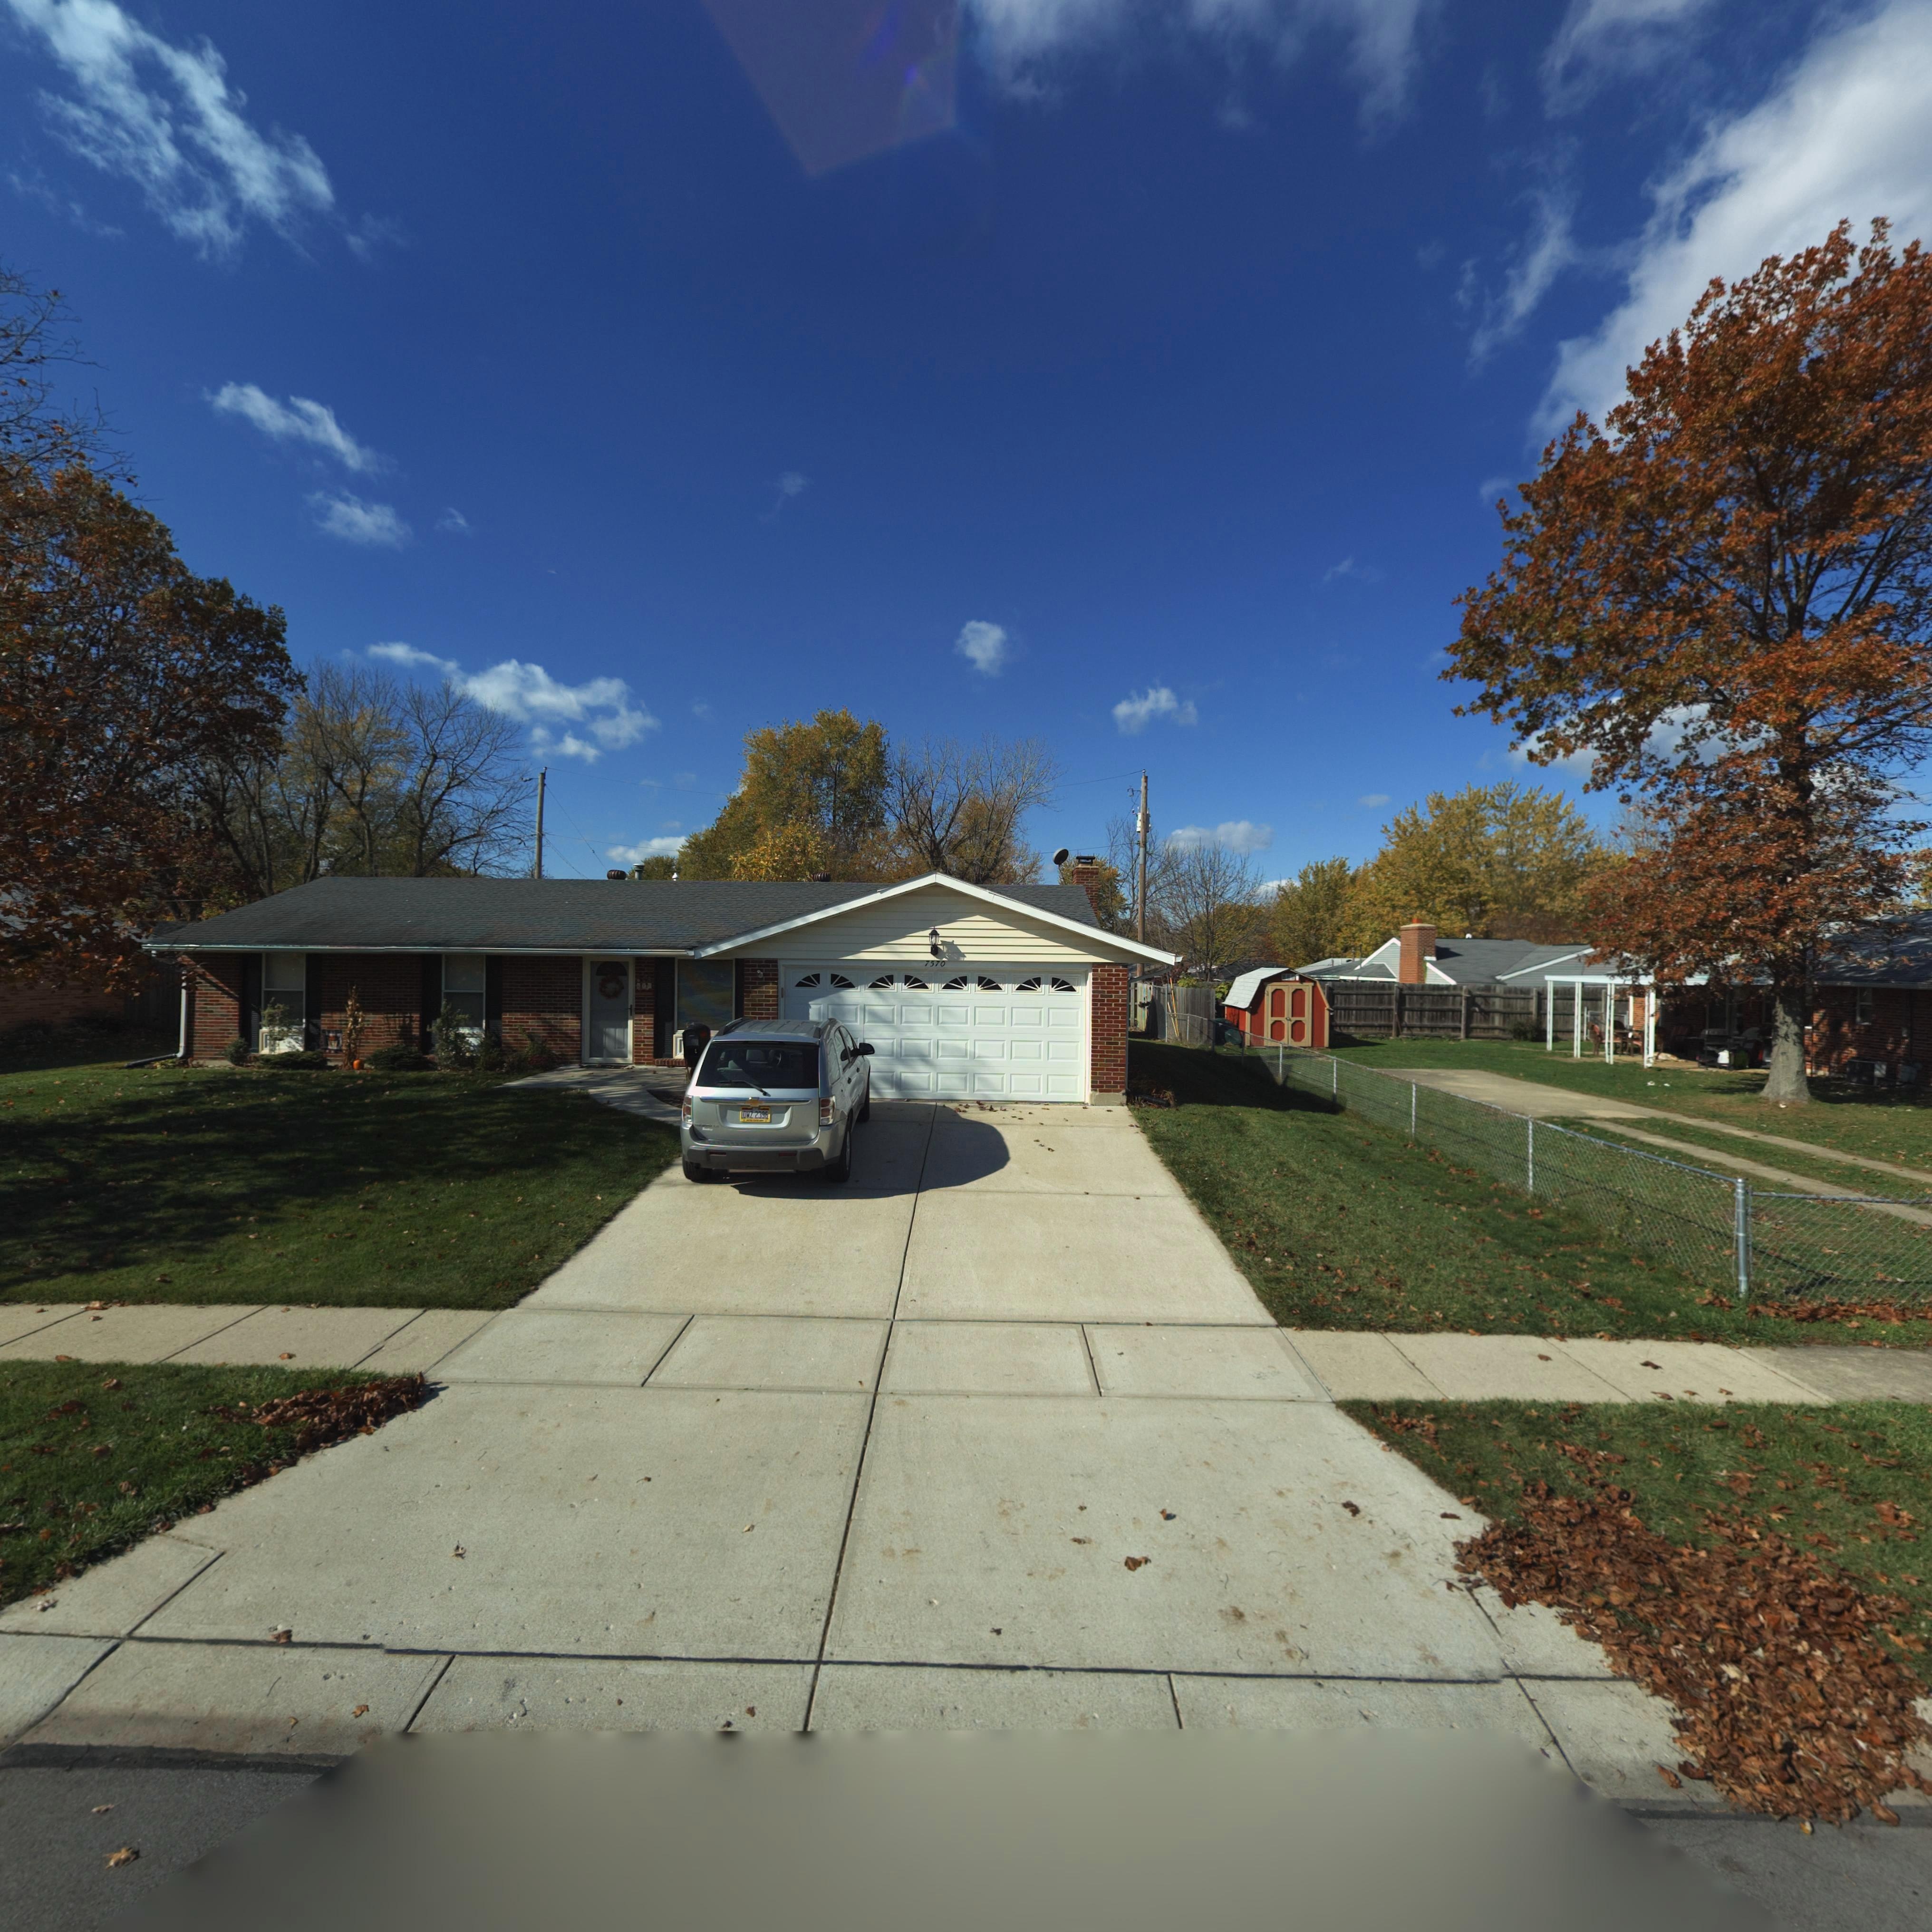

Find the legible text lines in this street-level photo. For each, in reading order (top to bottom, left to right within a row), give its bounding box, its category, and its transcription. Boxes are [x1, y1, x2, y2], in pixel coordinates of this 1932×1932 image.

[924, 960, 947, 968] StreetNumber: 7570